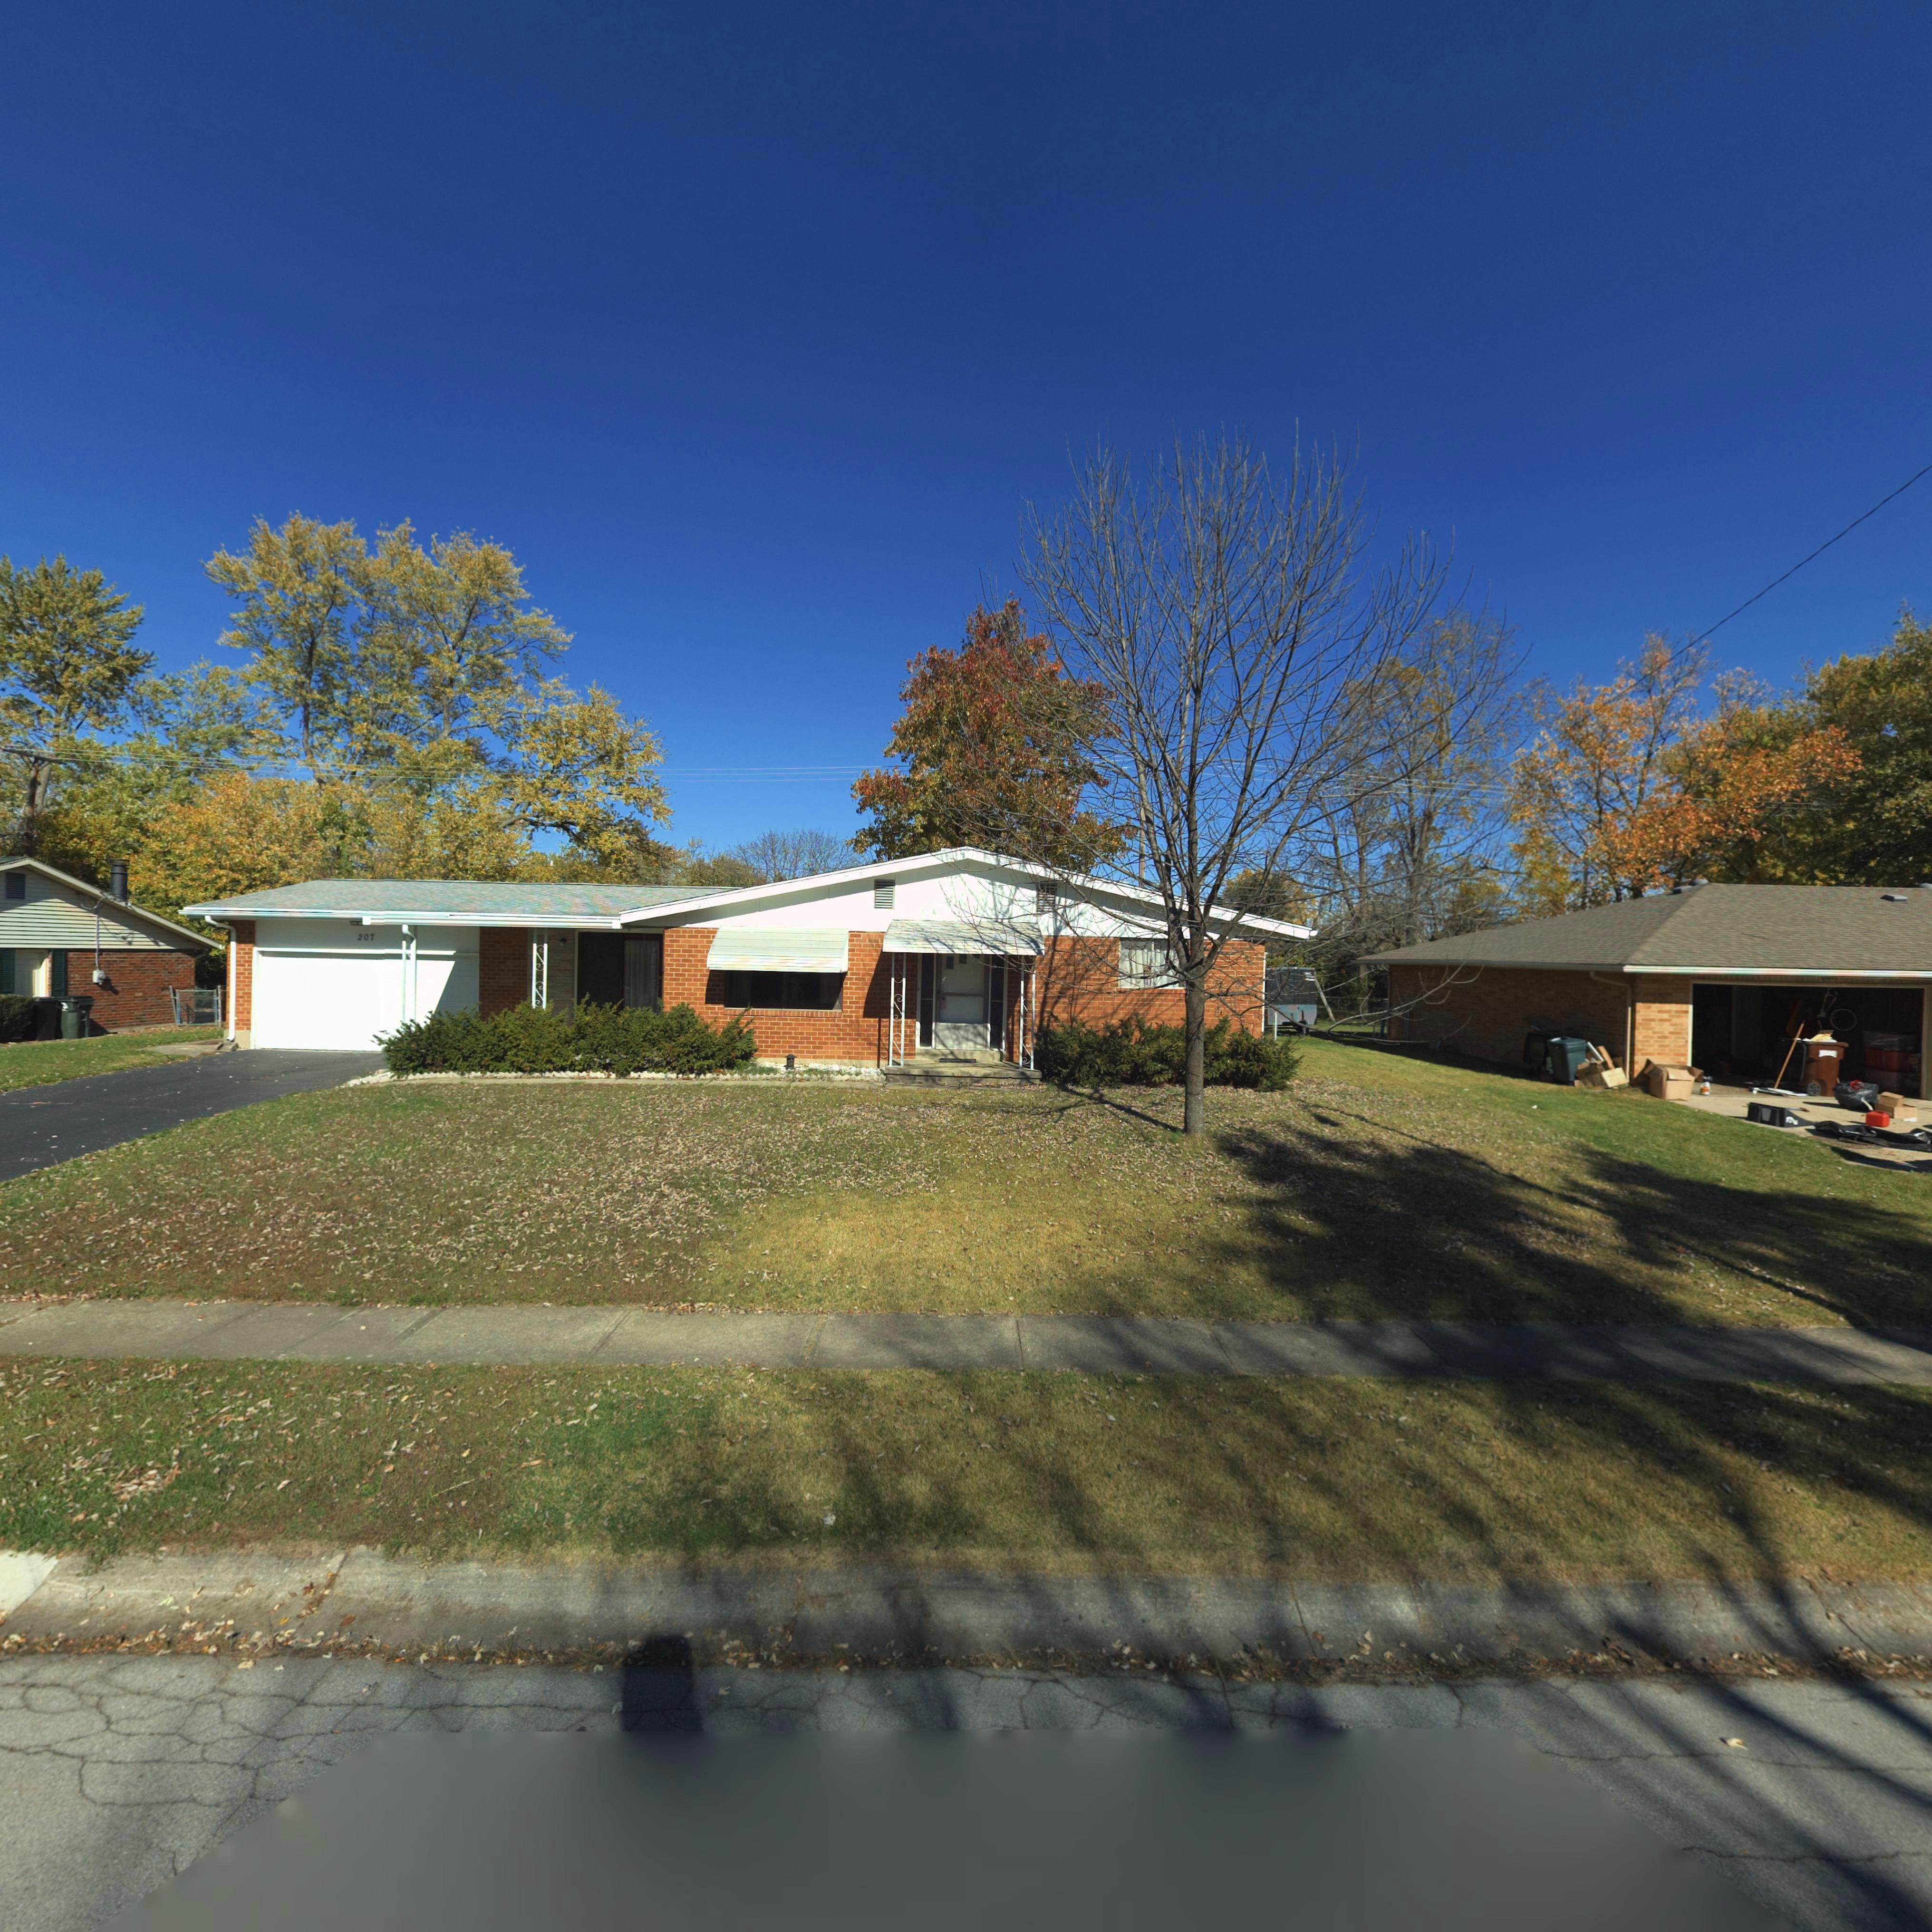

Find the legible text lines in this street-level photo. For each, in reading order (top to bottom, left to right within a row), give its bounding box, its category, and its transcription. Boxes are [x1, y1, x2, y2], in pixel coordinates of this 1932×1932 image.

[357, 933, 376, 942] StreetNumber: 207